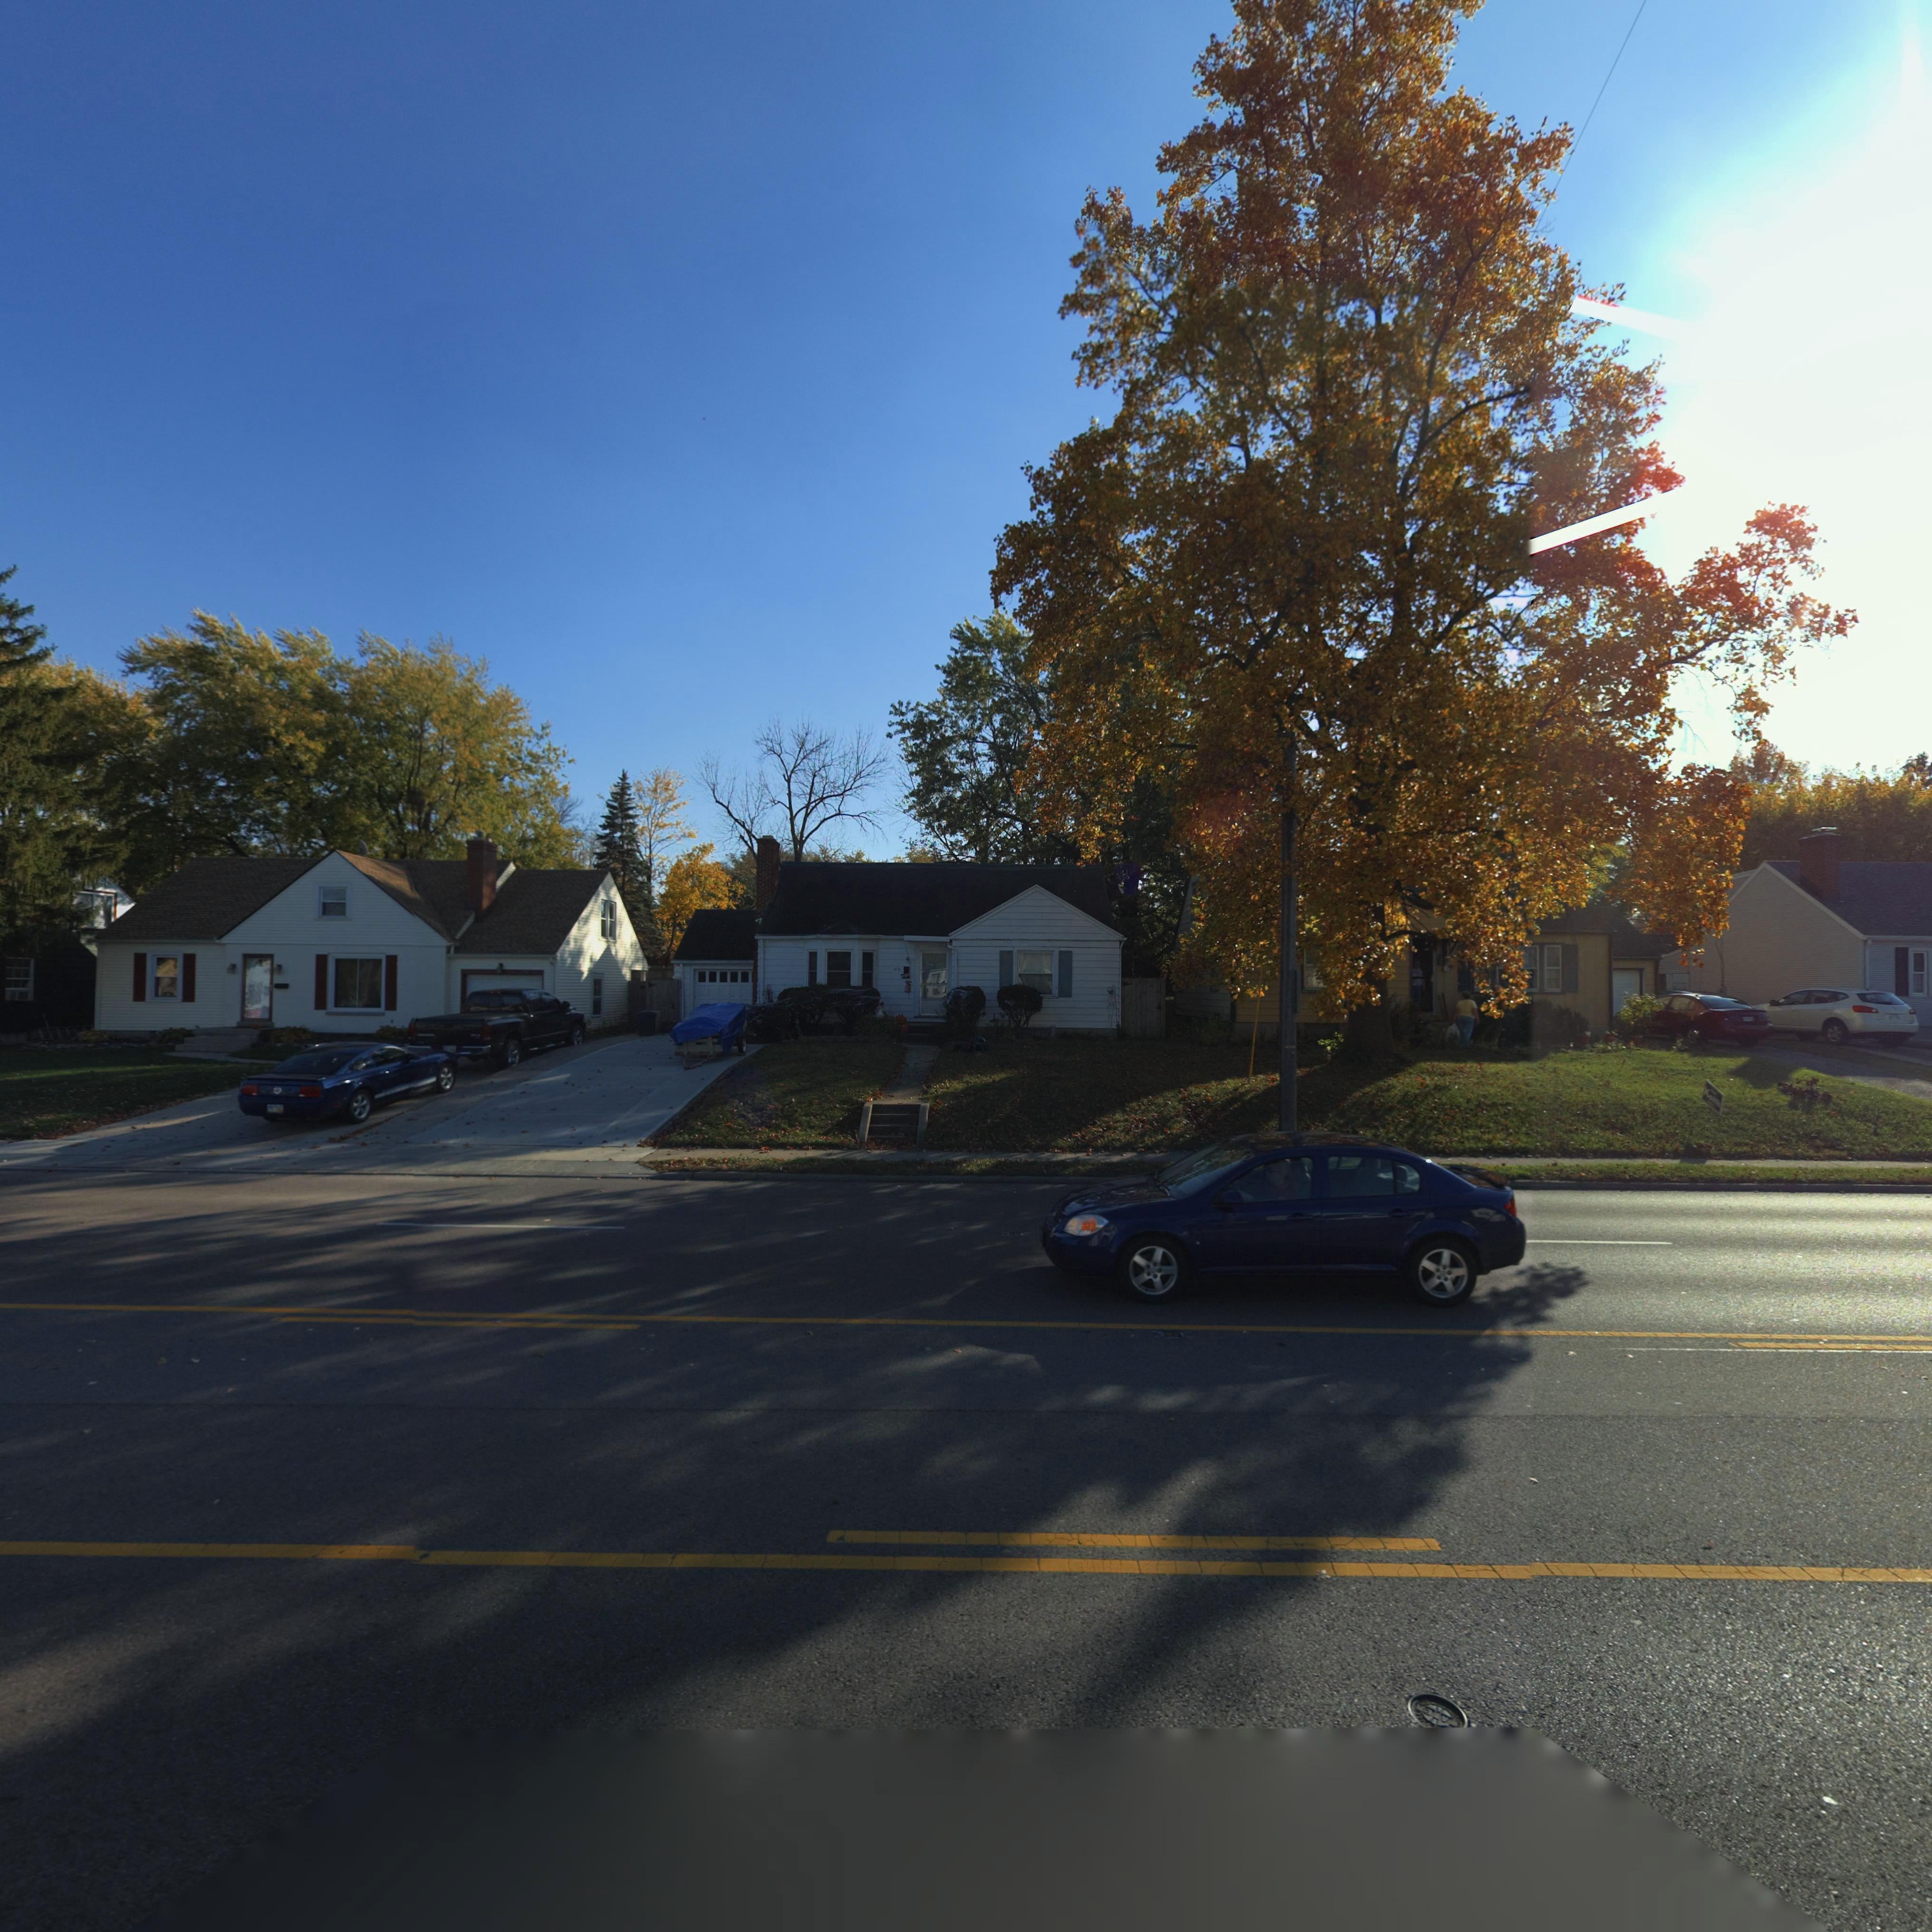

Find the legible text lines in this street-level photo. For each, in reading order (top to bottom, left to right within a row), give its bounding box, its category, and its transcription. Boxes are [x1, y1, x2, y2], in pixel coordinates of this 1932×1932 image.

[893, 967, 900, 972] StreetNumber: *12